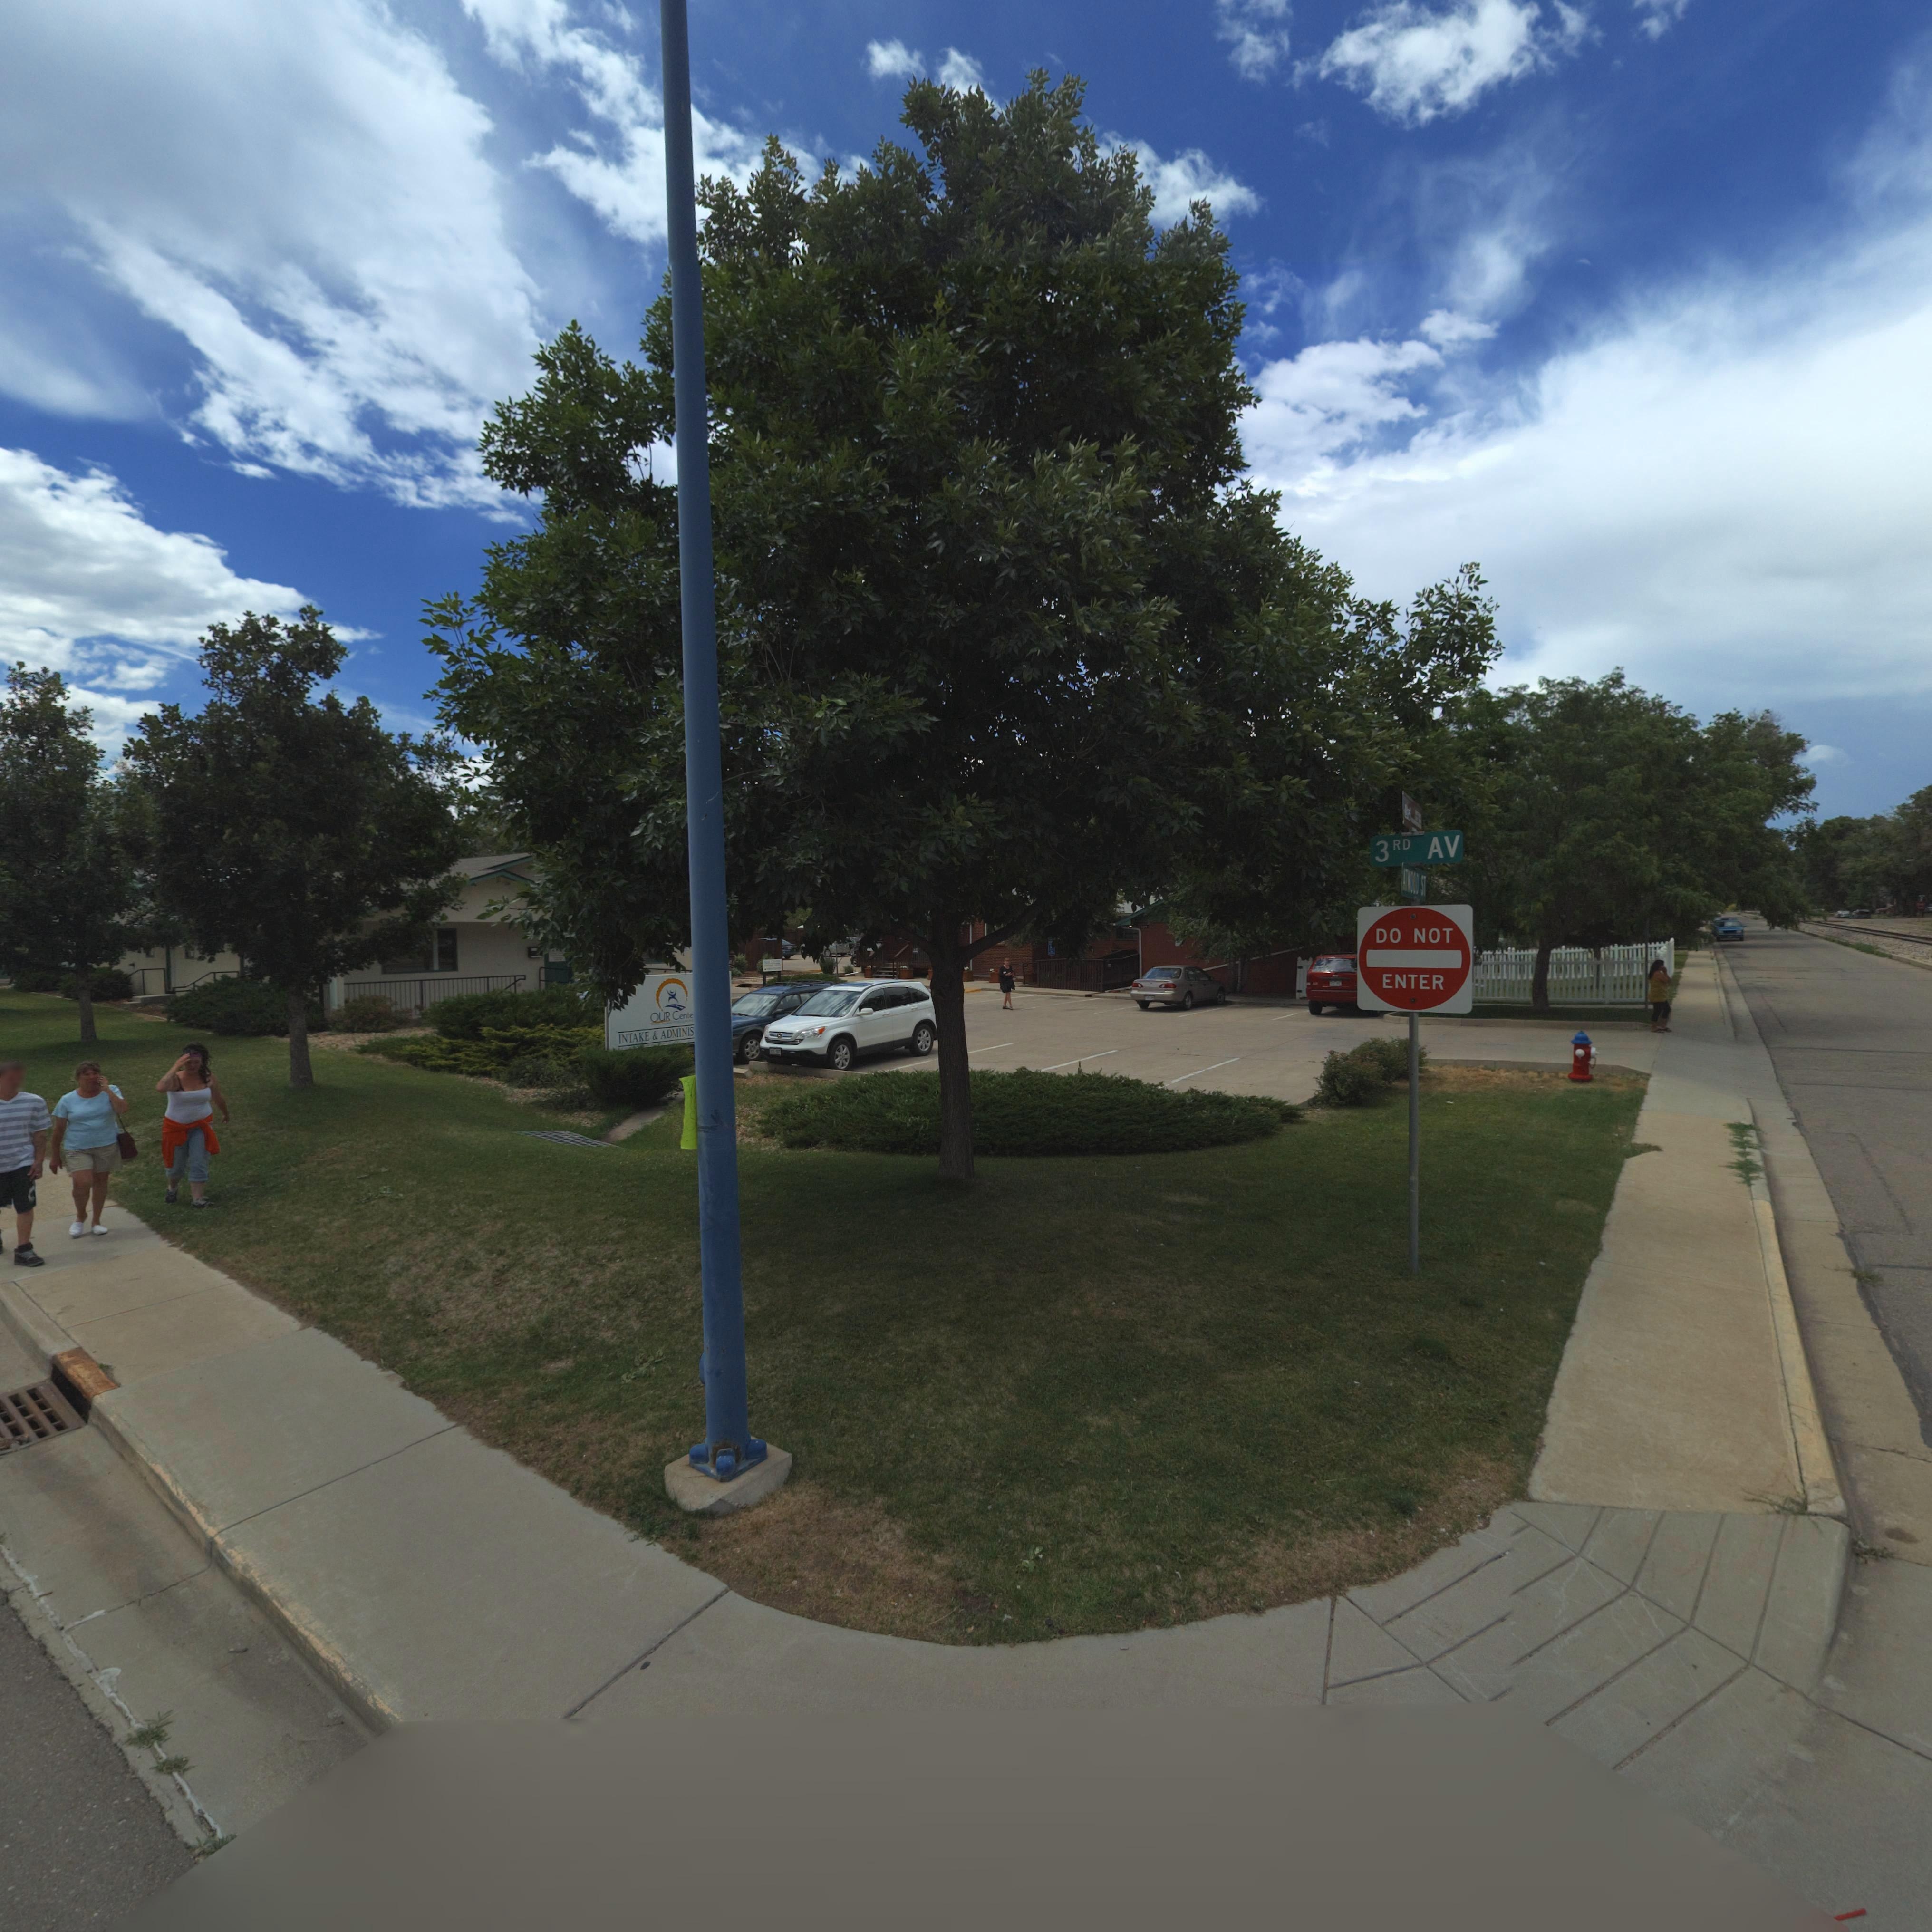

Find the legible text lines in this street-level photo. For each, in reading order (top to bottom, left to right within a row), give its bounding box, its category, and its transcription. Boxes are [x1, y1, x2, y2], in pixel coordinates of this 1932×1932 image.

[1374, 834, 1460, 862] StreetName: 3RD AV
[1402, 867, 1427, 897] StreetName: ATWOOD ST
[650, 1010, 694, 1022] BusinessName: OUR Center